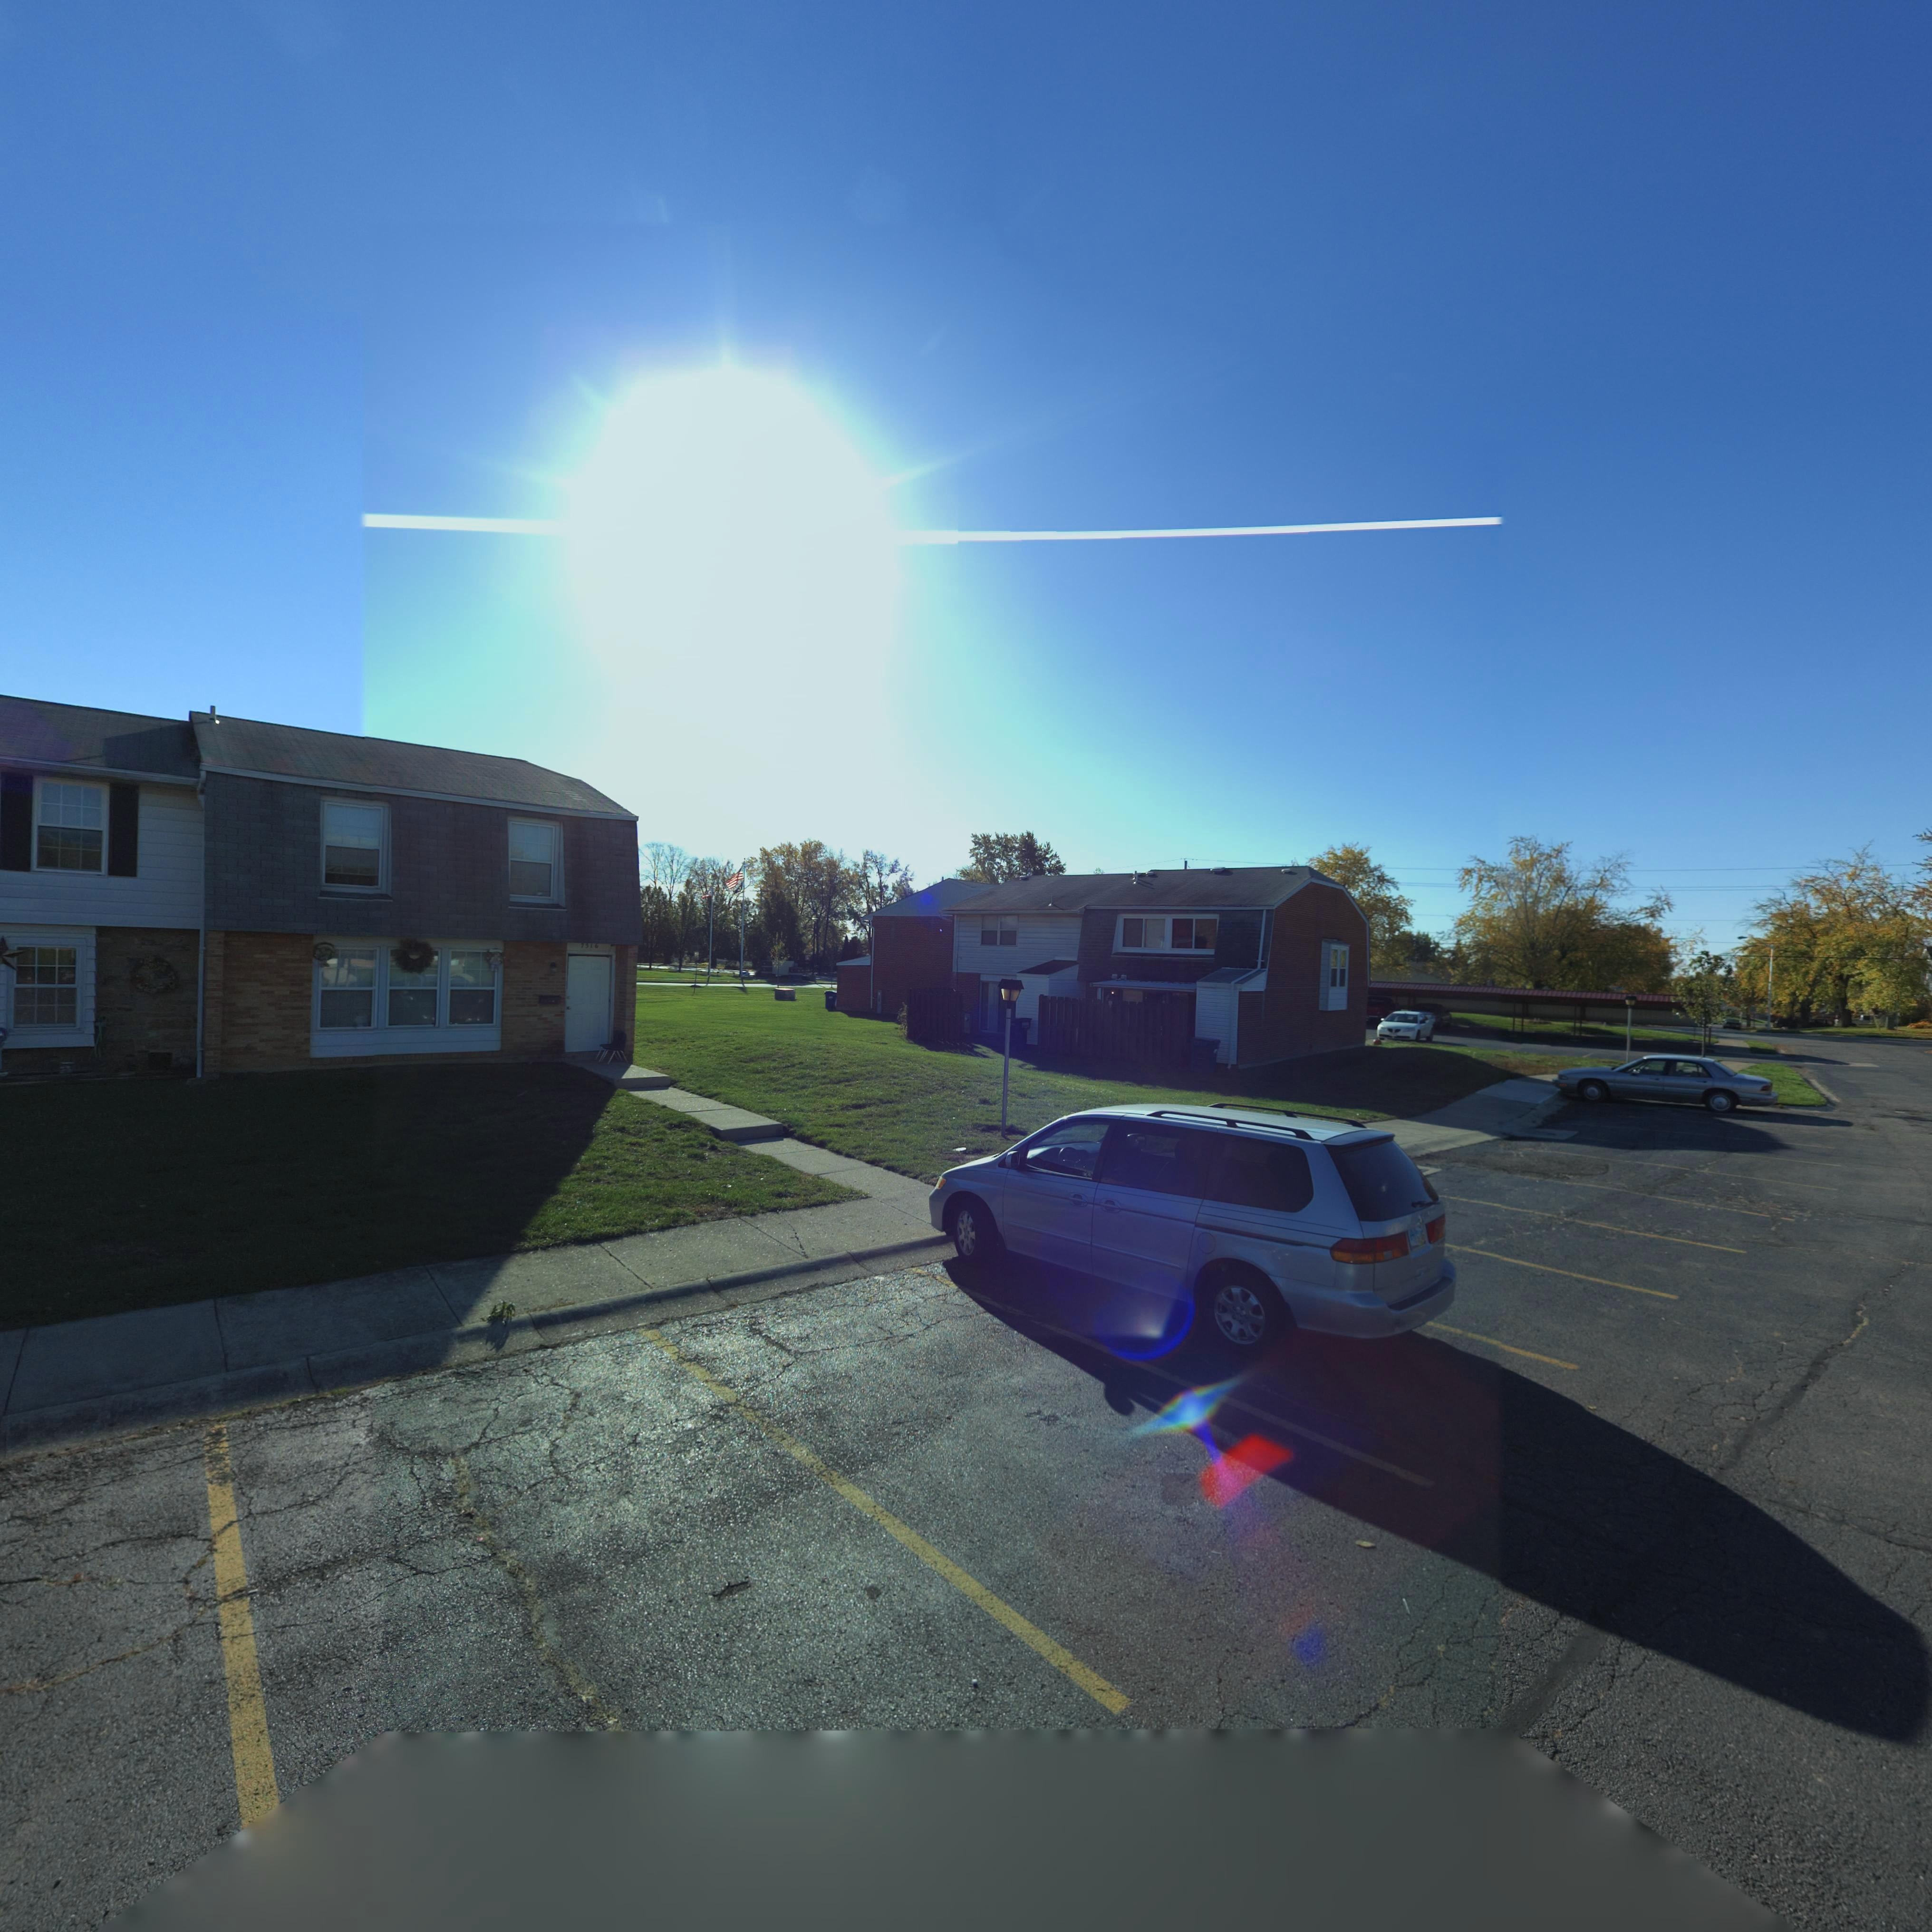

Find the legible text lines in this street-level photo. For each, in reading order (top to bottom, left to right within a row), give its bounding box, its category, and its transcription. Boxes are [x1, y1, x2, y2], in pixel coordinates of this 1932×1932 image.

[580, 942, 599, 949] StreetNumber: 7516